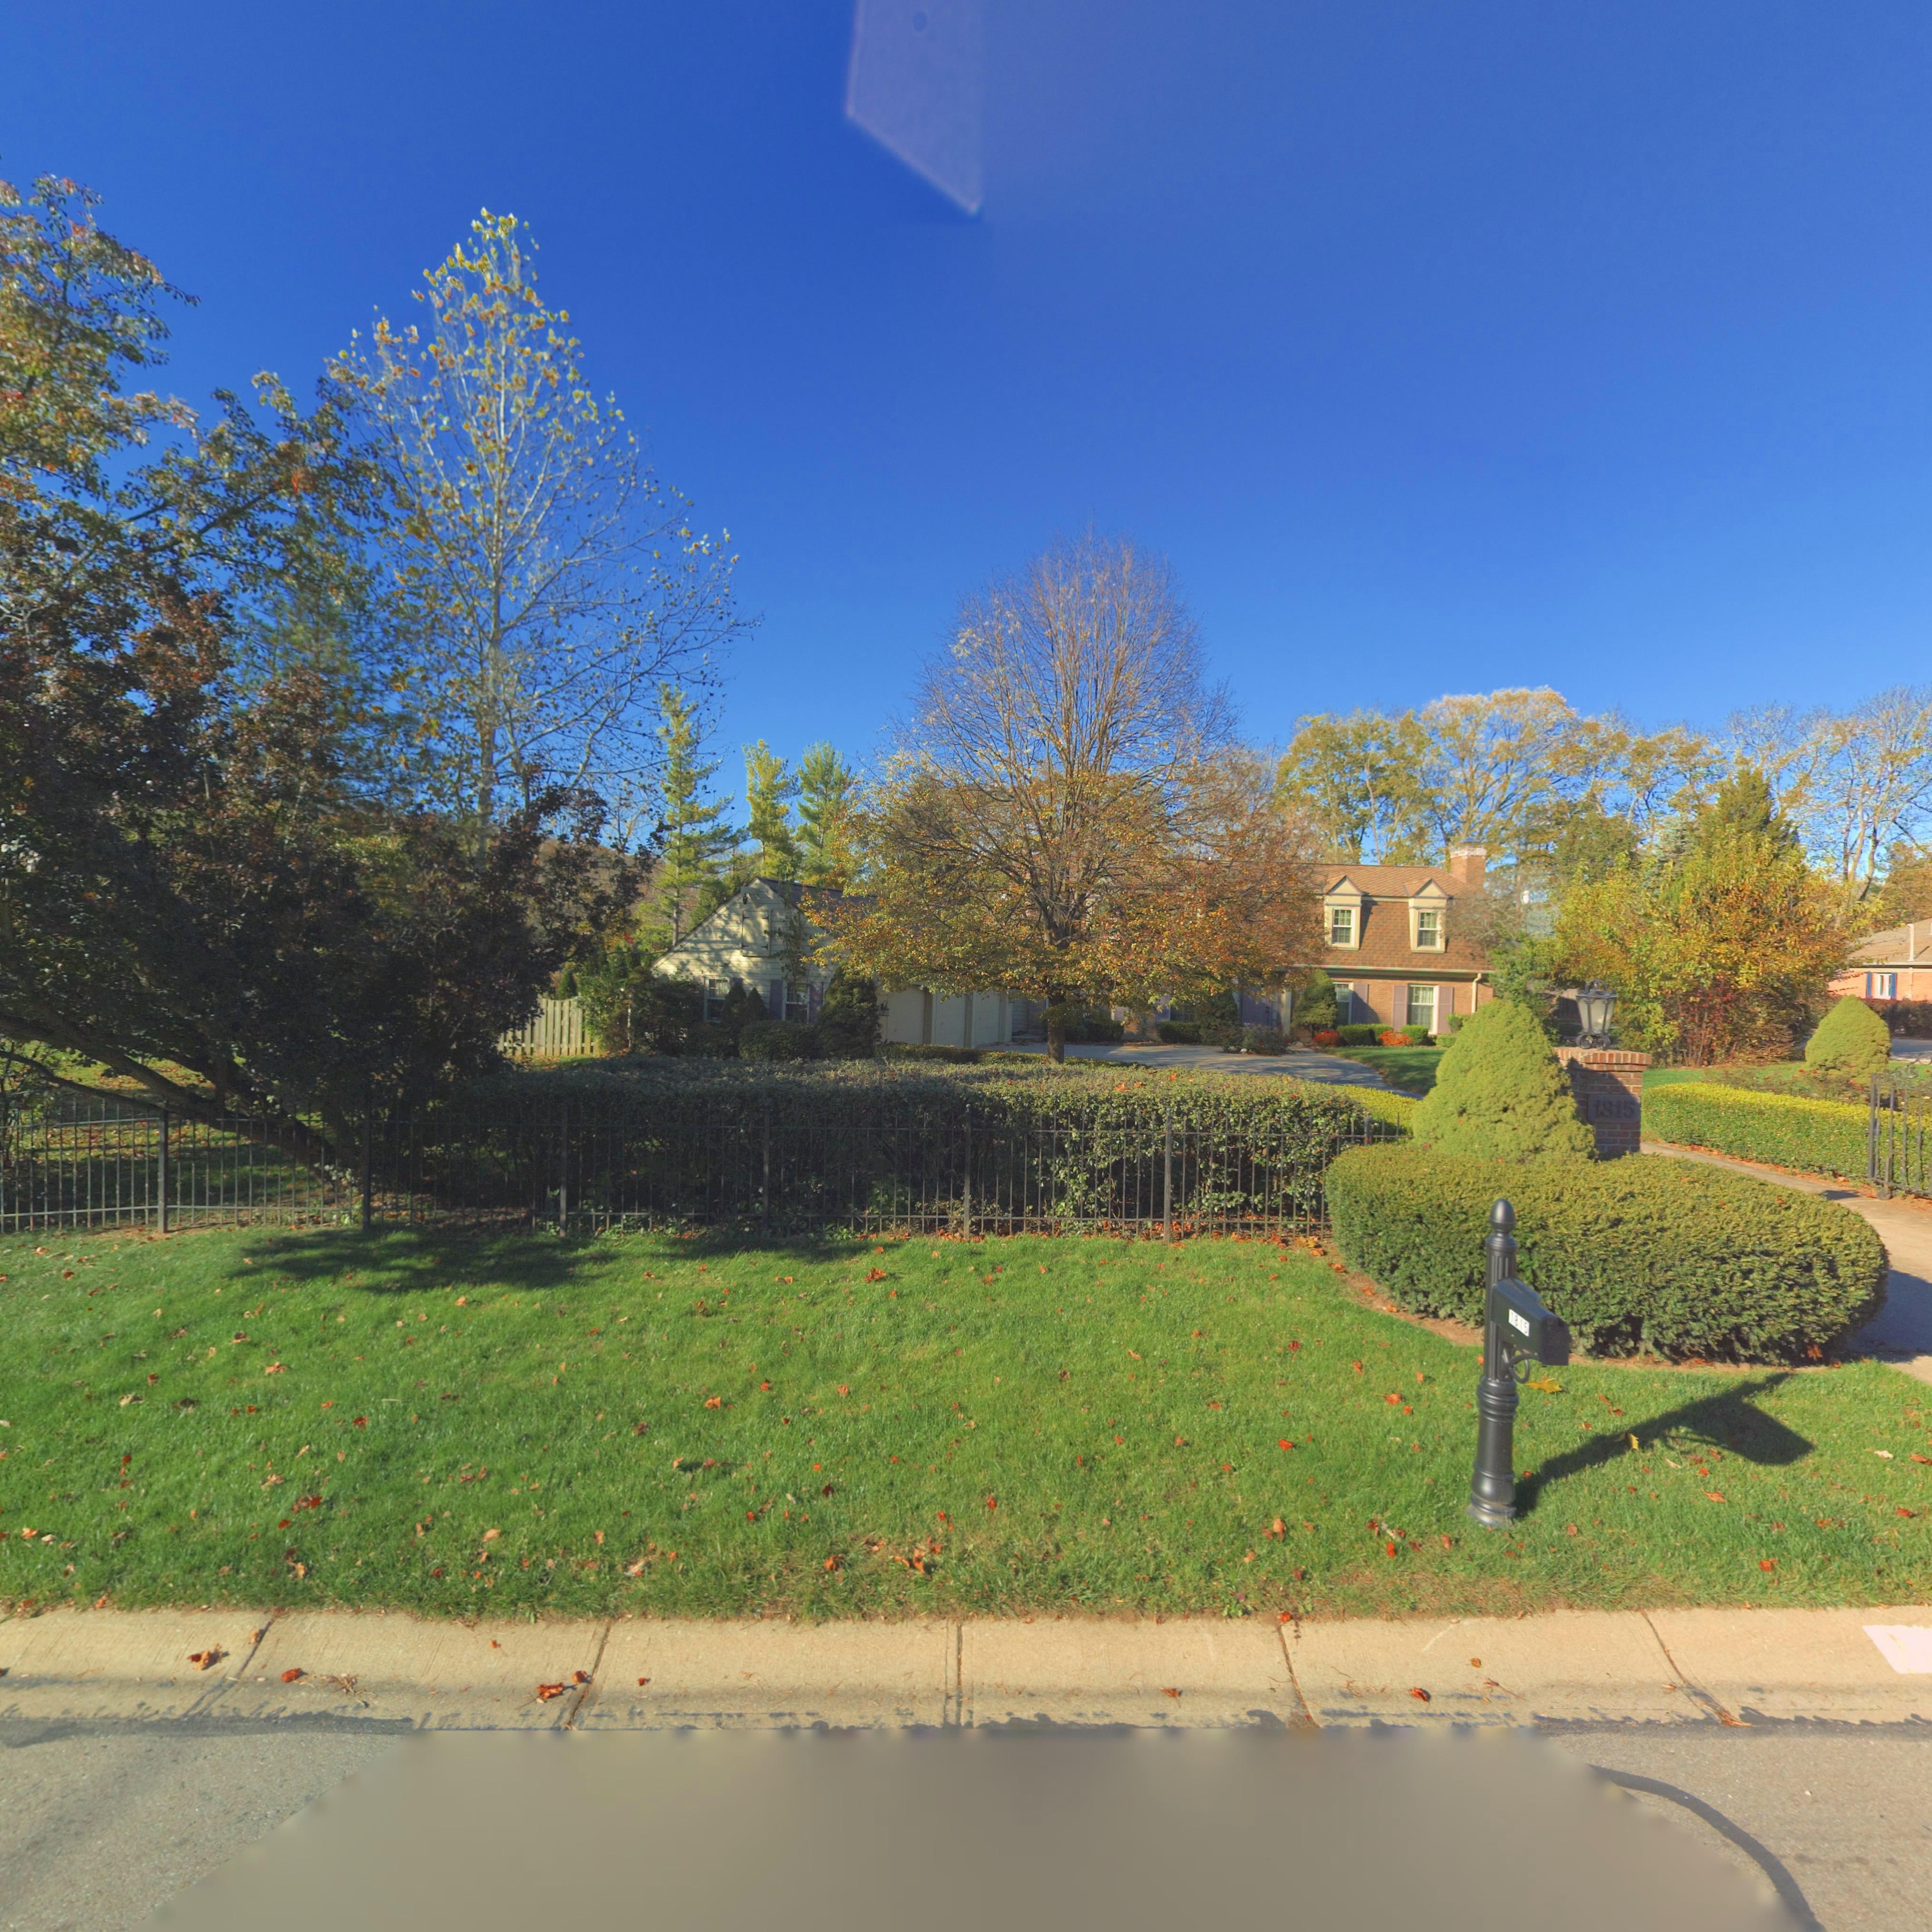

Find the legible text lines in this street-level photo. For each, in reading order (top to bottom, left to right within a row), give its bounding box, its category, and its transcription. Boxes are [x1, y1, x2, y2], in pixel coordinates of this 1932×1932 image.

[1593, 1098, 1636, 1119] StreetNumber: 1815
[1509, 1311, 1529, 1336] StreetNumber: 1815